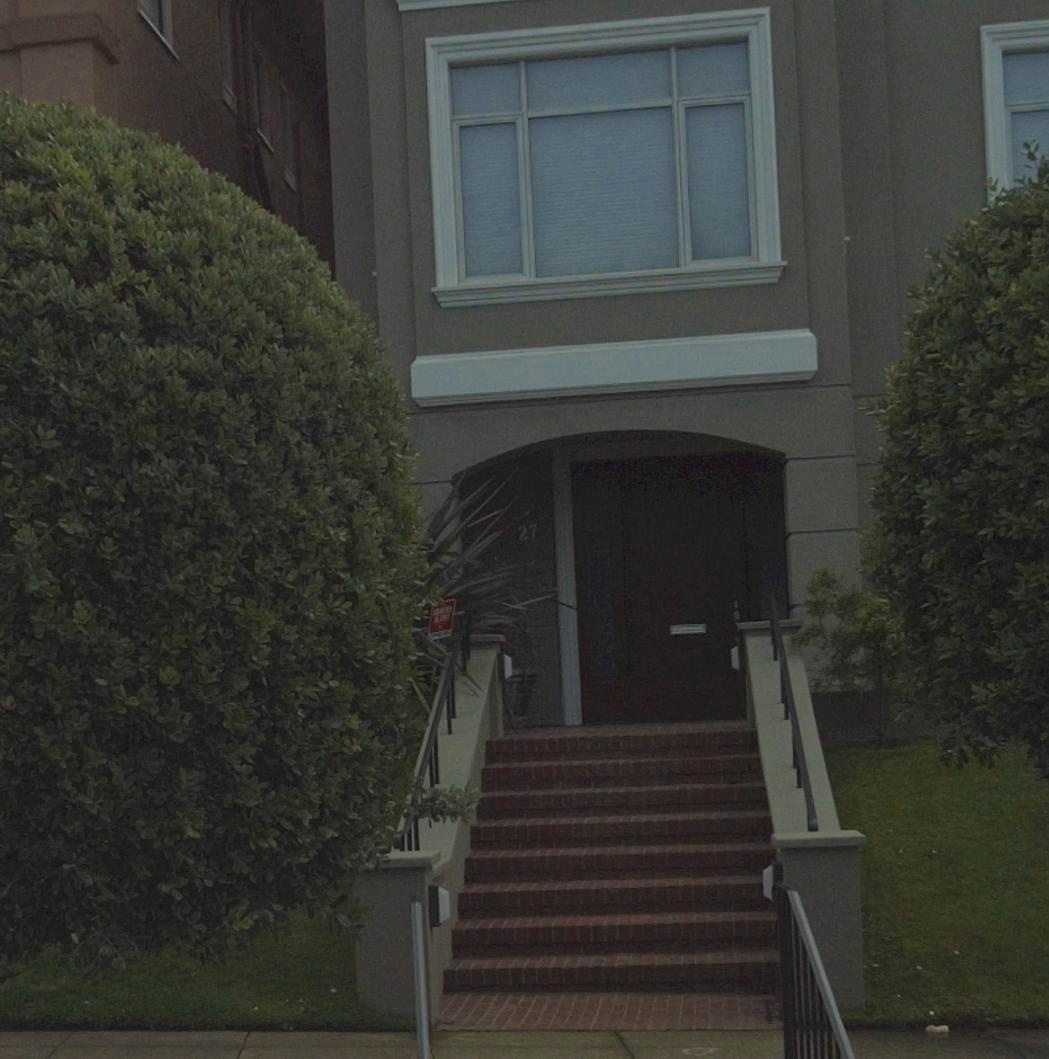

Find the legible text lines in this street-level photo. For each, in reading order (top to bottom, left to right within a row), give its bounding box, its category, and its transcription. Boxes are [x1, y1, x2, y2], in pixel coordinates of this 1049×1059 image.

[516, 523, 539, 542] StreetNumber: 27